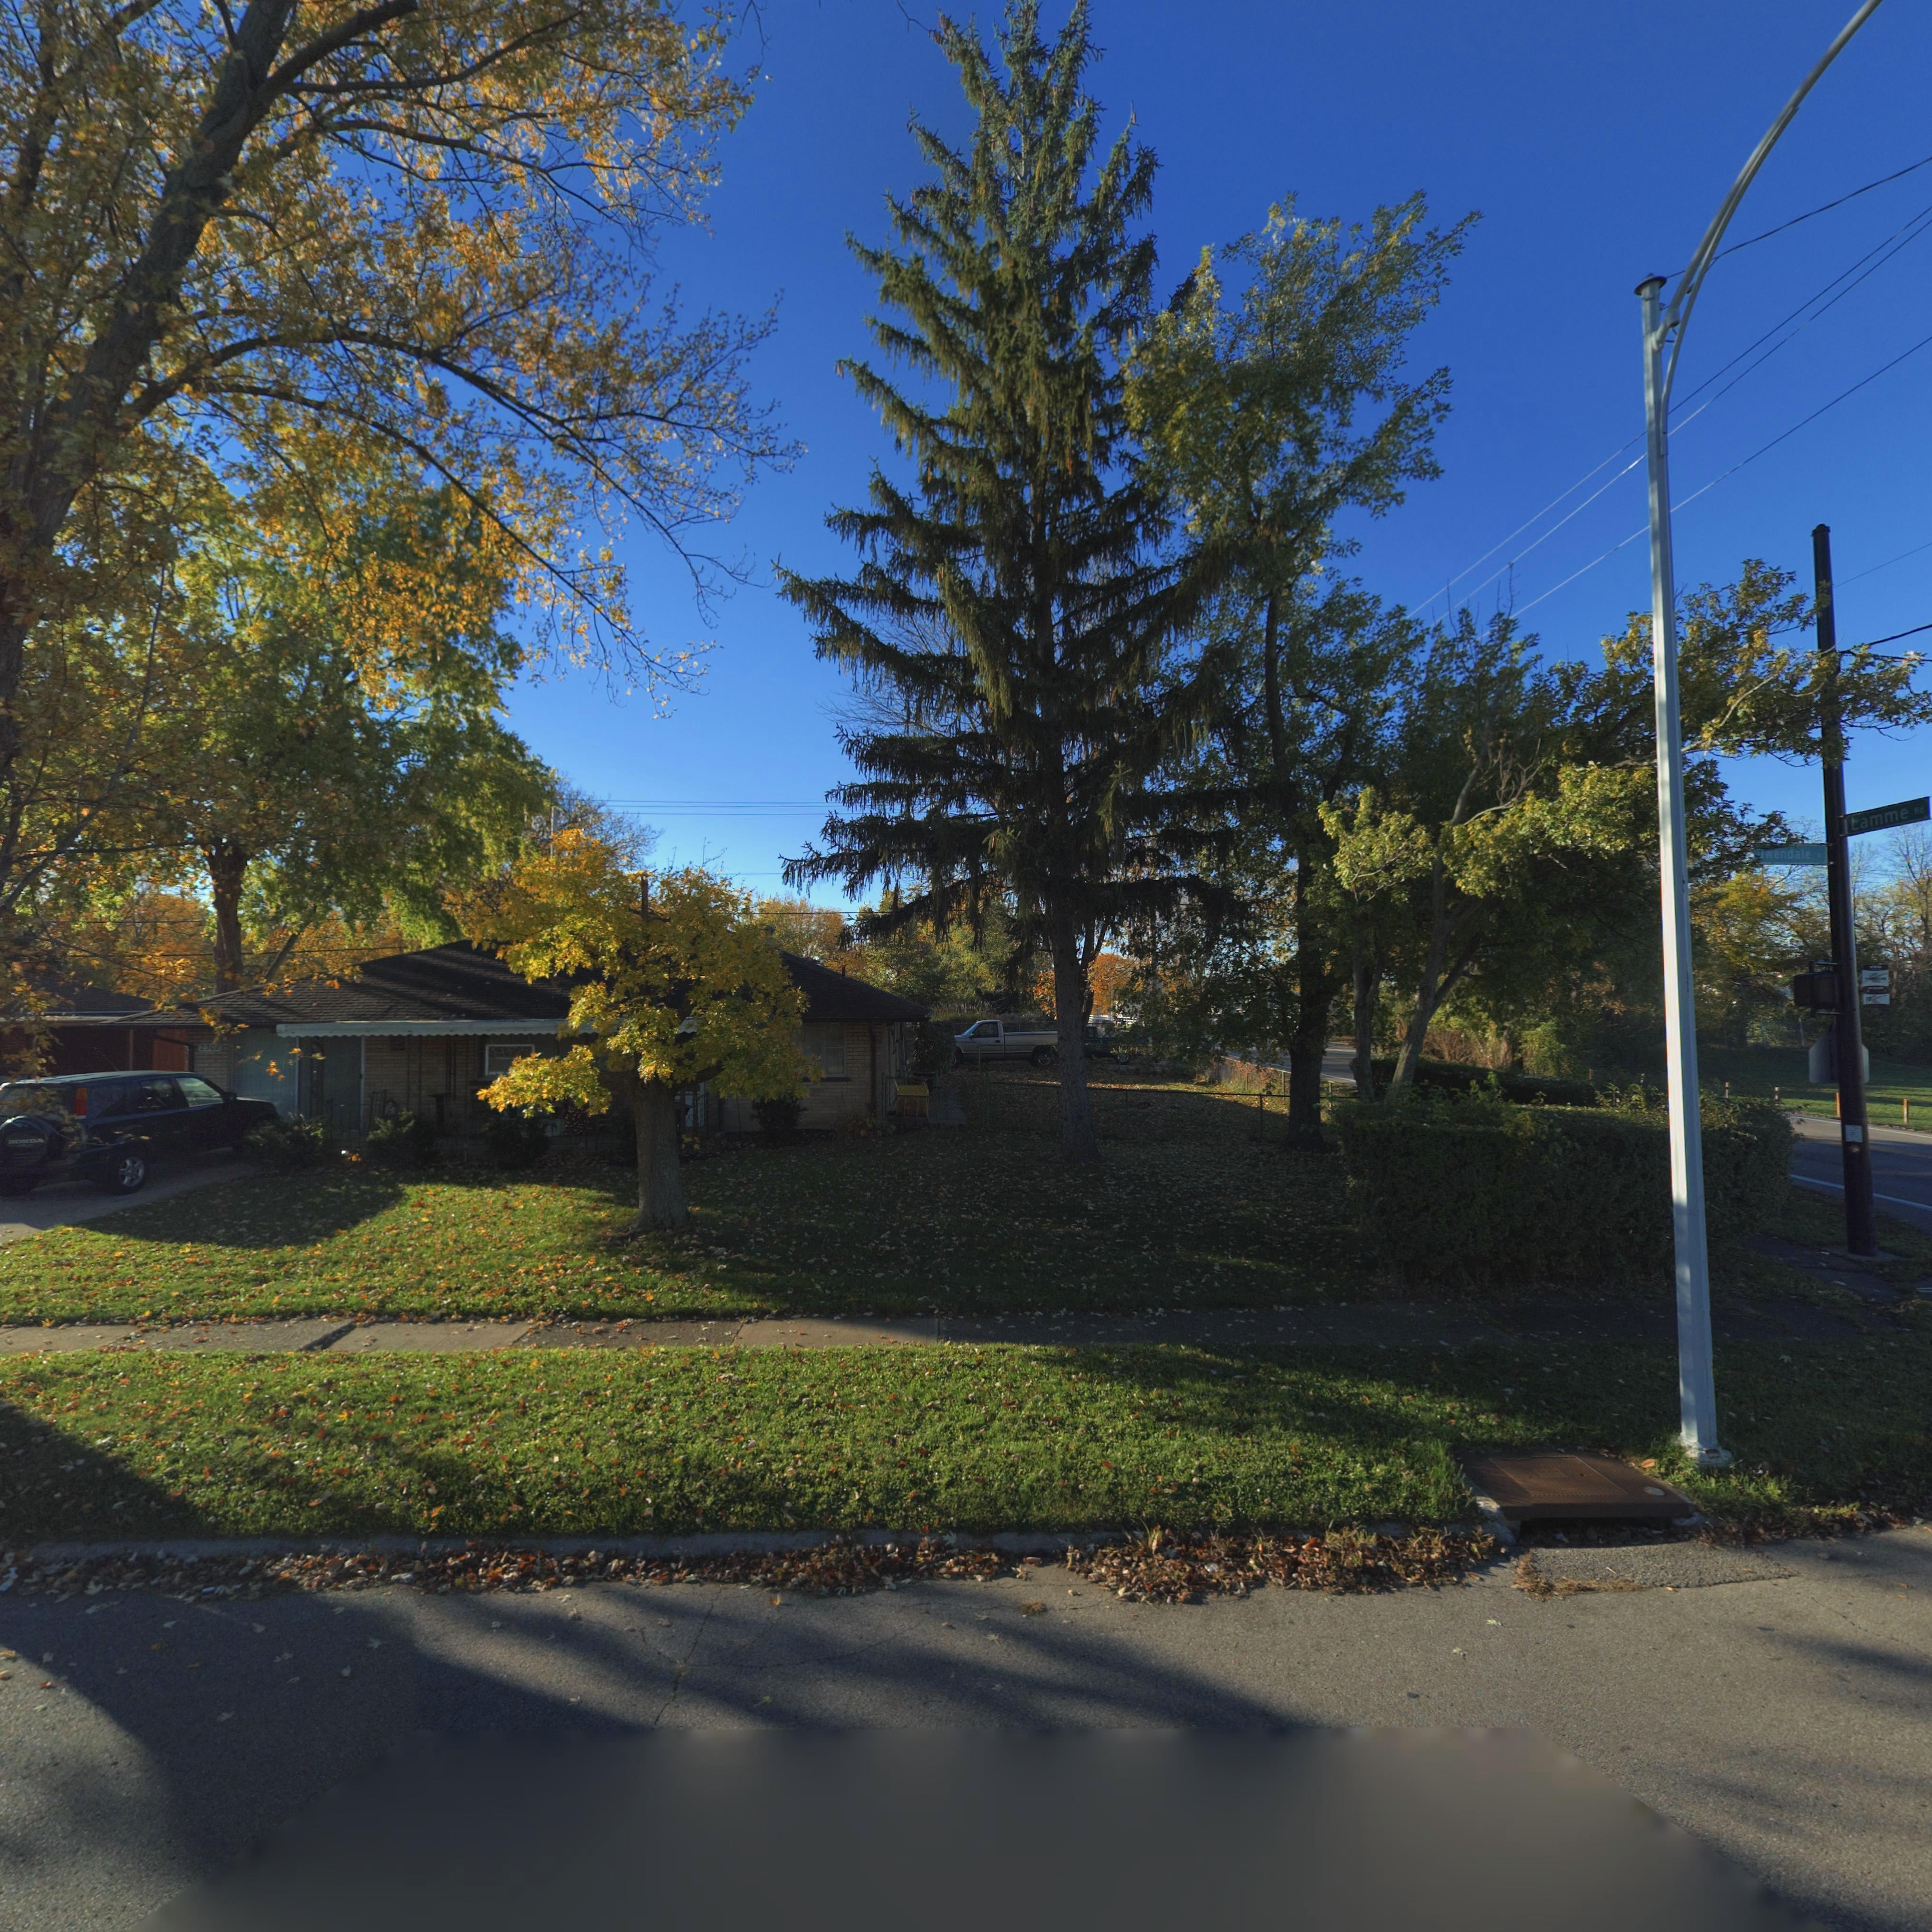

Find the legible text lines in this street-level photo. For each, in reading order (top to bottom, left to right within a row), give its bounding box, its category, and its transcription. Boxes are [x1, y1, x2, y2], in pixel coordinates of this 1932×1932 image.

[200, 1043, 216, 1051] StreetNumber: 230